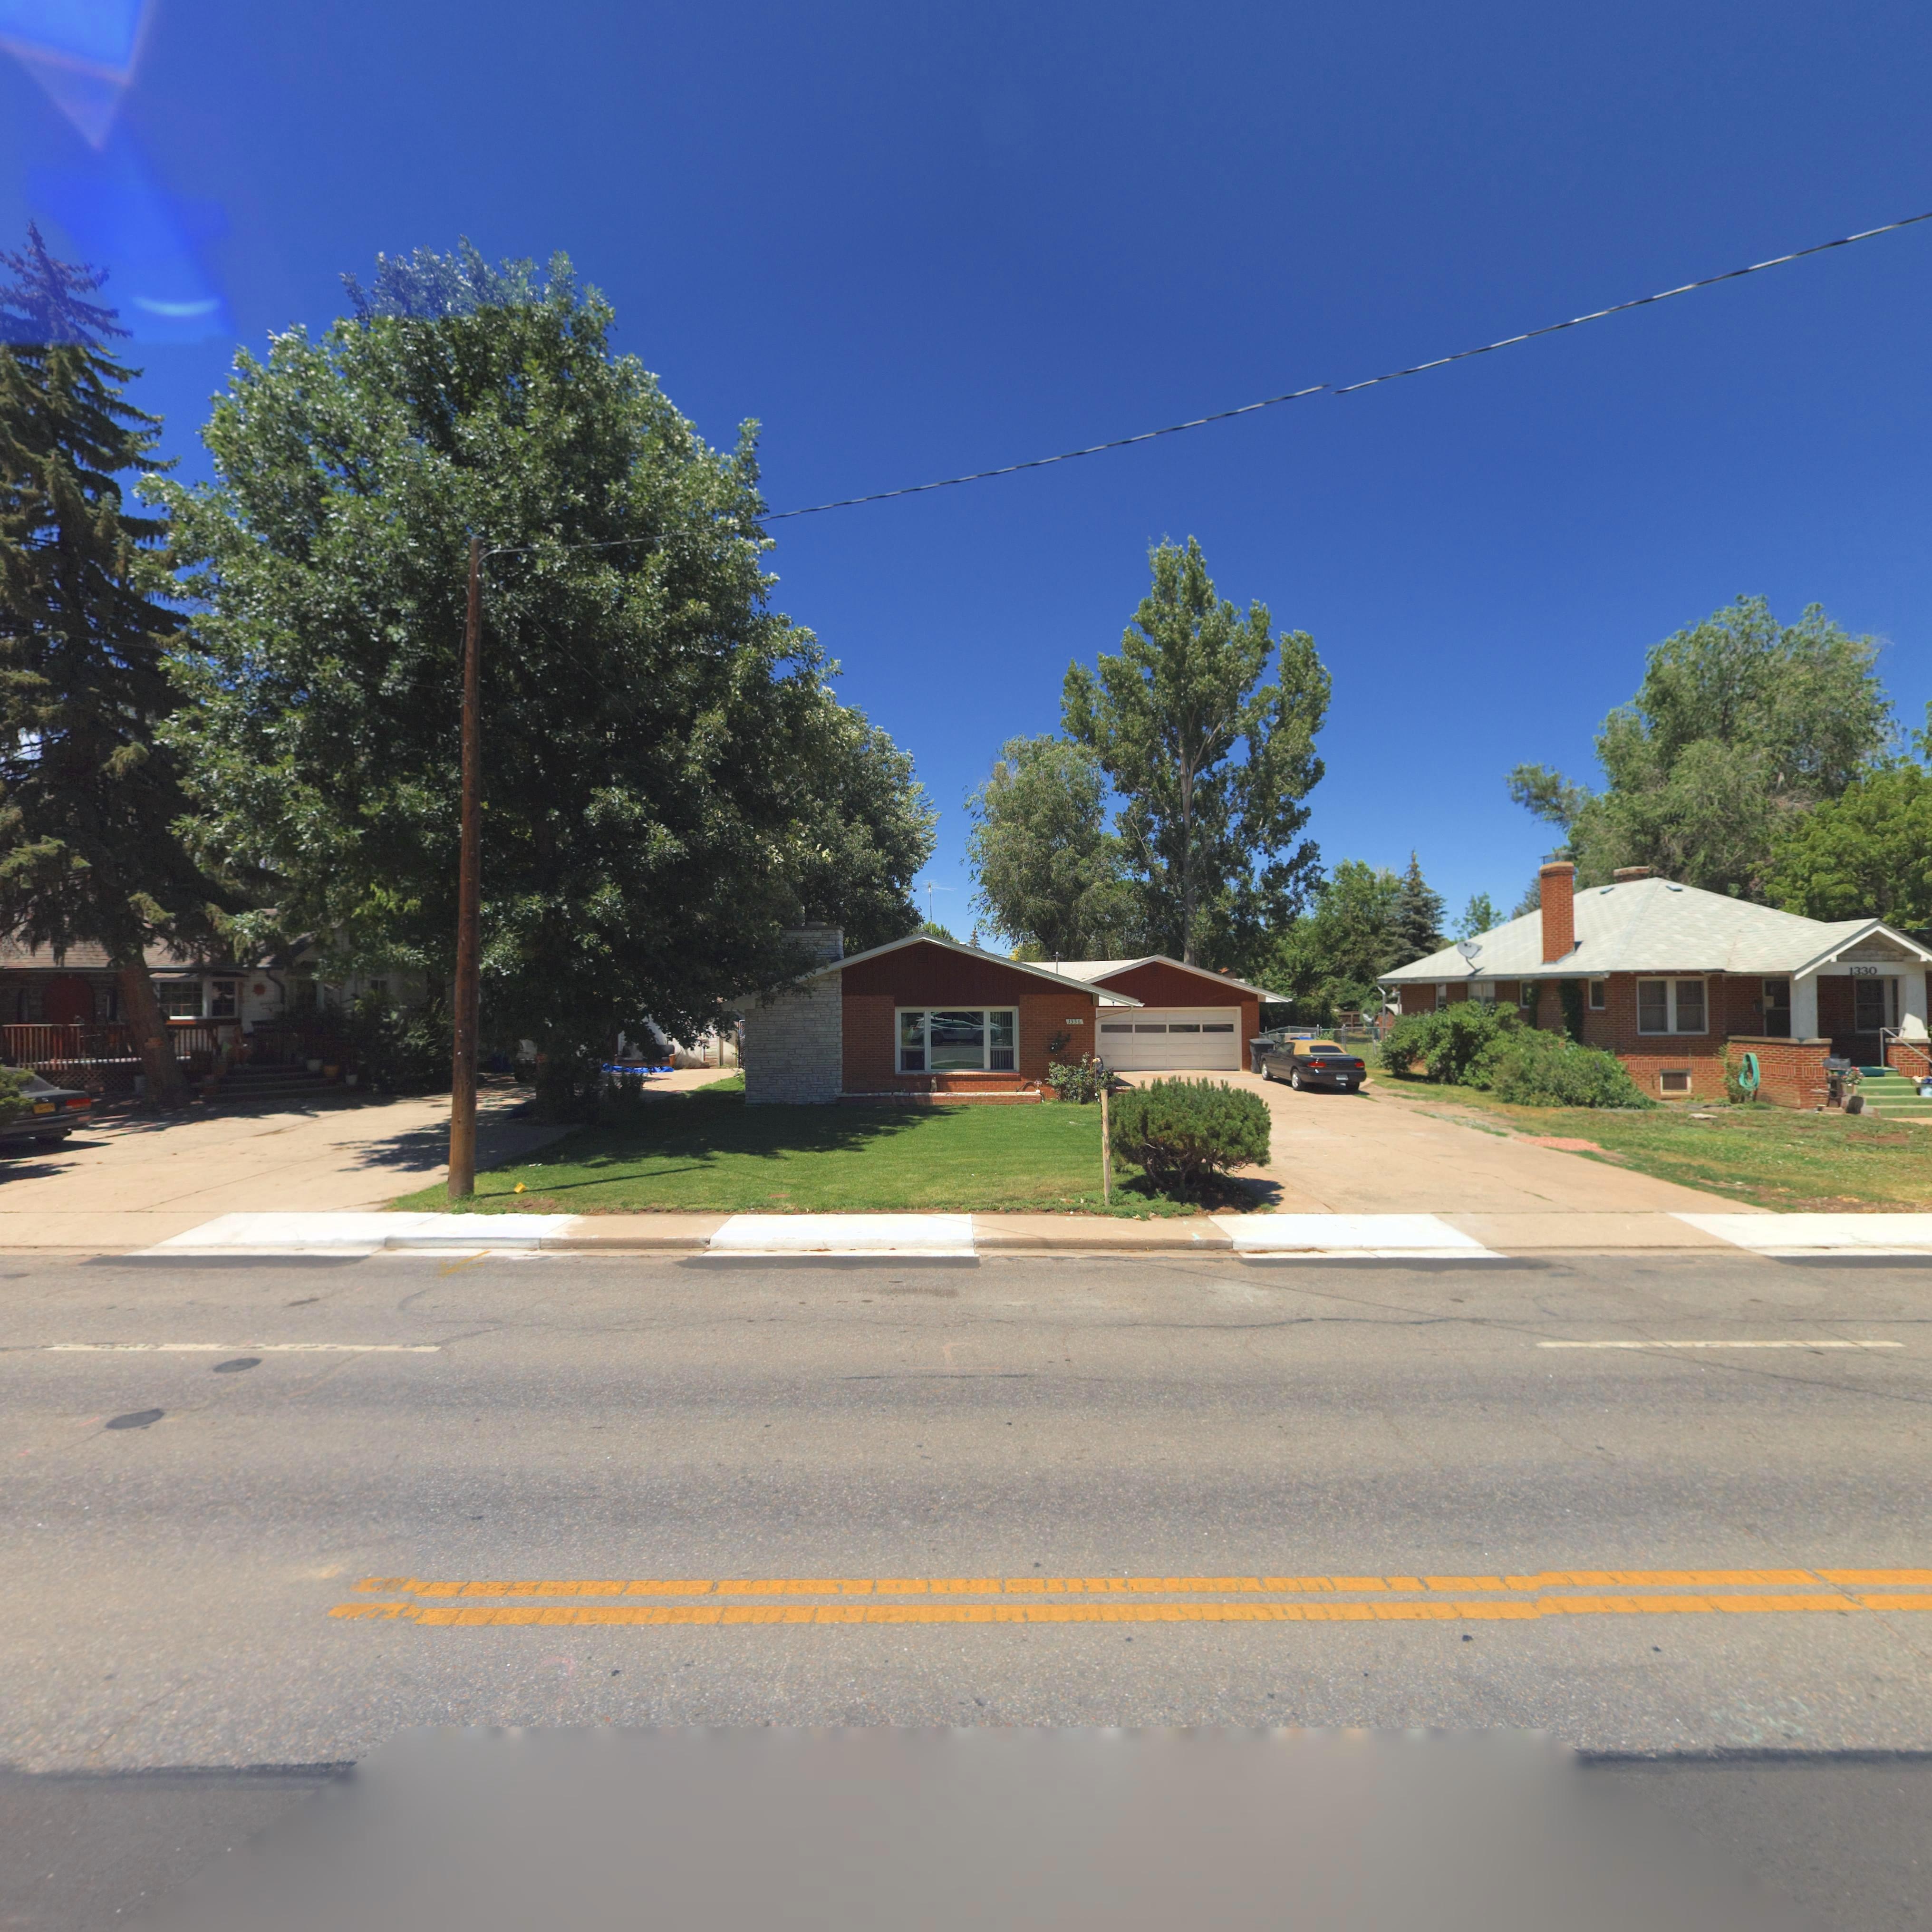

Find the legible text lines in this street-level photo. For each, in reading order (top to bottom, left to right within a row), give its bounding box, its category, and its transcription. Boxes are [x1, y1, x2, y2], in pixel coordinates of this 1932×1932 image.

[1850, 966, 1877, 975] StreetNumber: 1330
[1068, 1019, 1081, 1024] StreetNumber: 1336